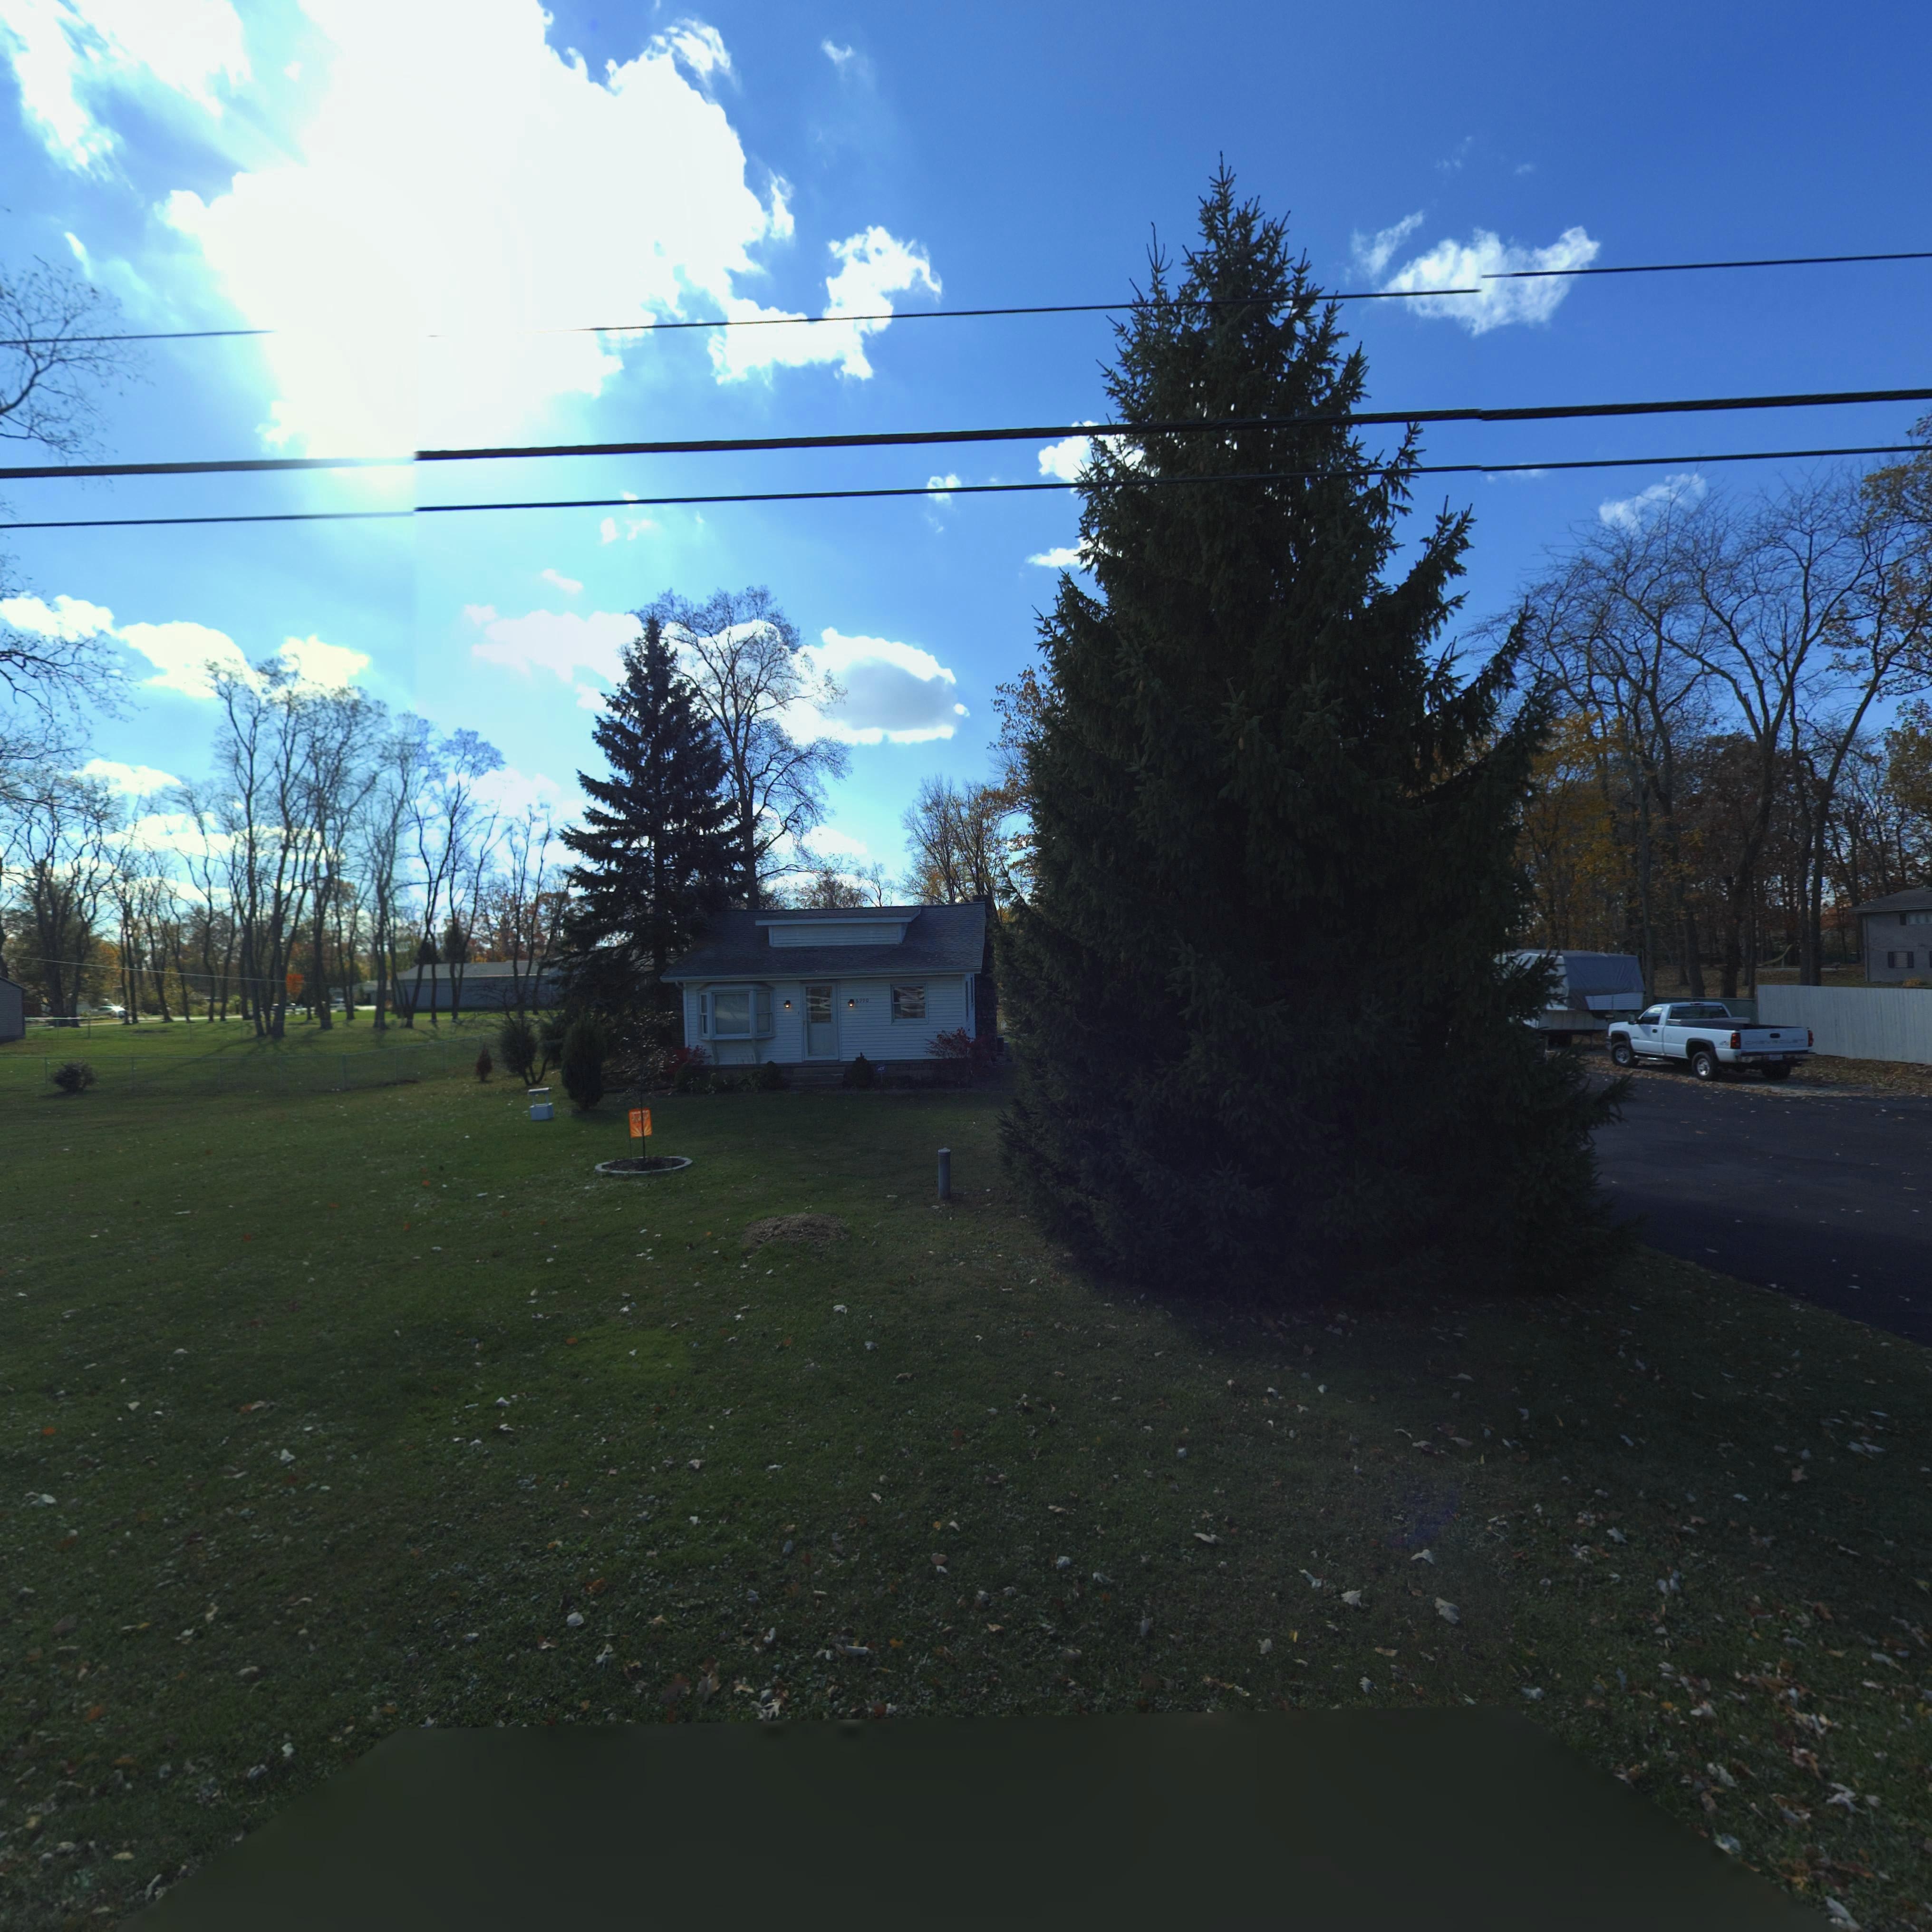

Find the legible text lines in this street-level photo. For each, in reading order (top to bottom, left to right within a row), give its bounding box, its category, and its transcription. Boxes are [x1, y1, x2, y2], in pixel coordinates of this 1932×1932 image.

[854, 997, 869, 1005] StreetNumber: 6990